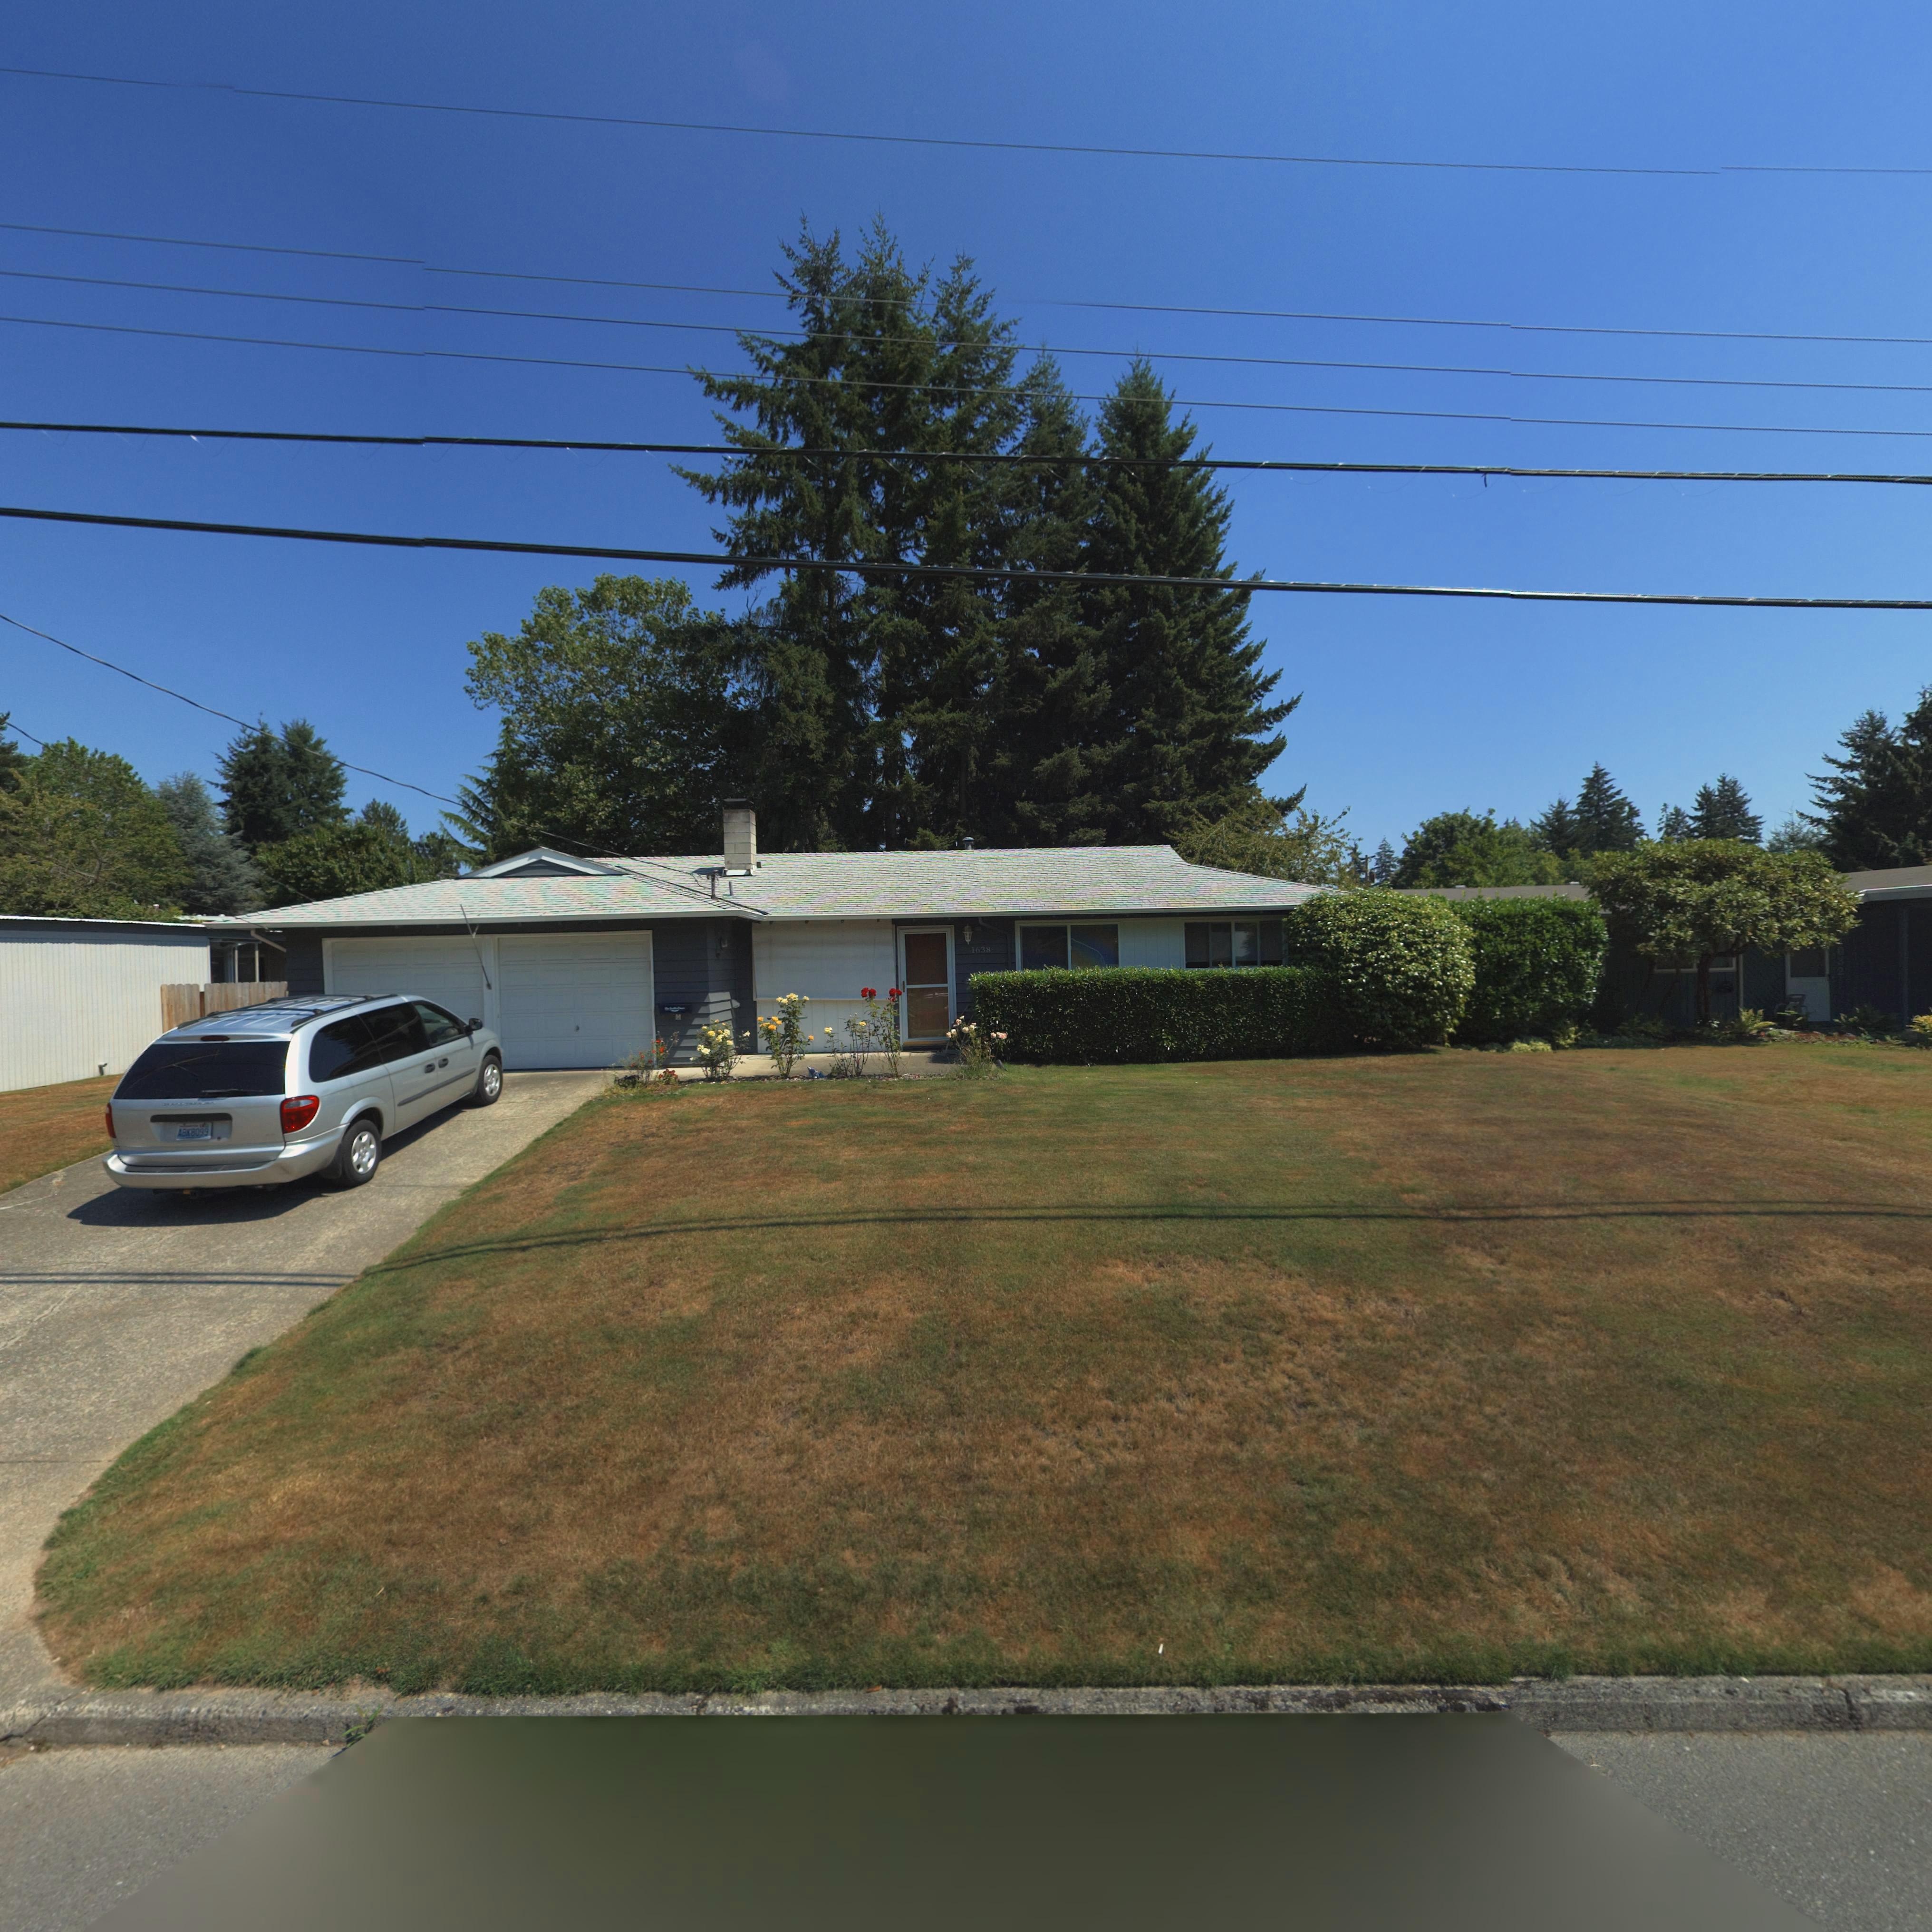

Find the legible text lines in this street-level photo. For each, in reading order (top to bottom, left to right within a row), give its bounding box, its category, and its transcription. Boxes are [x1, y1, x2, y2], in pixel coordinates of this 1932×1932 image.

[972, 947, 991, 953] StreetNumber: 1638